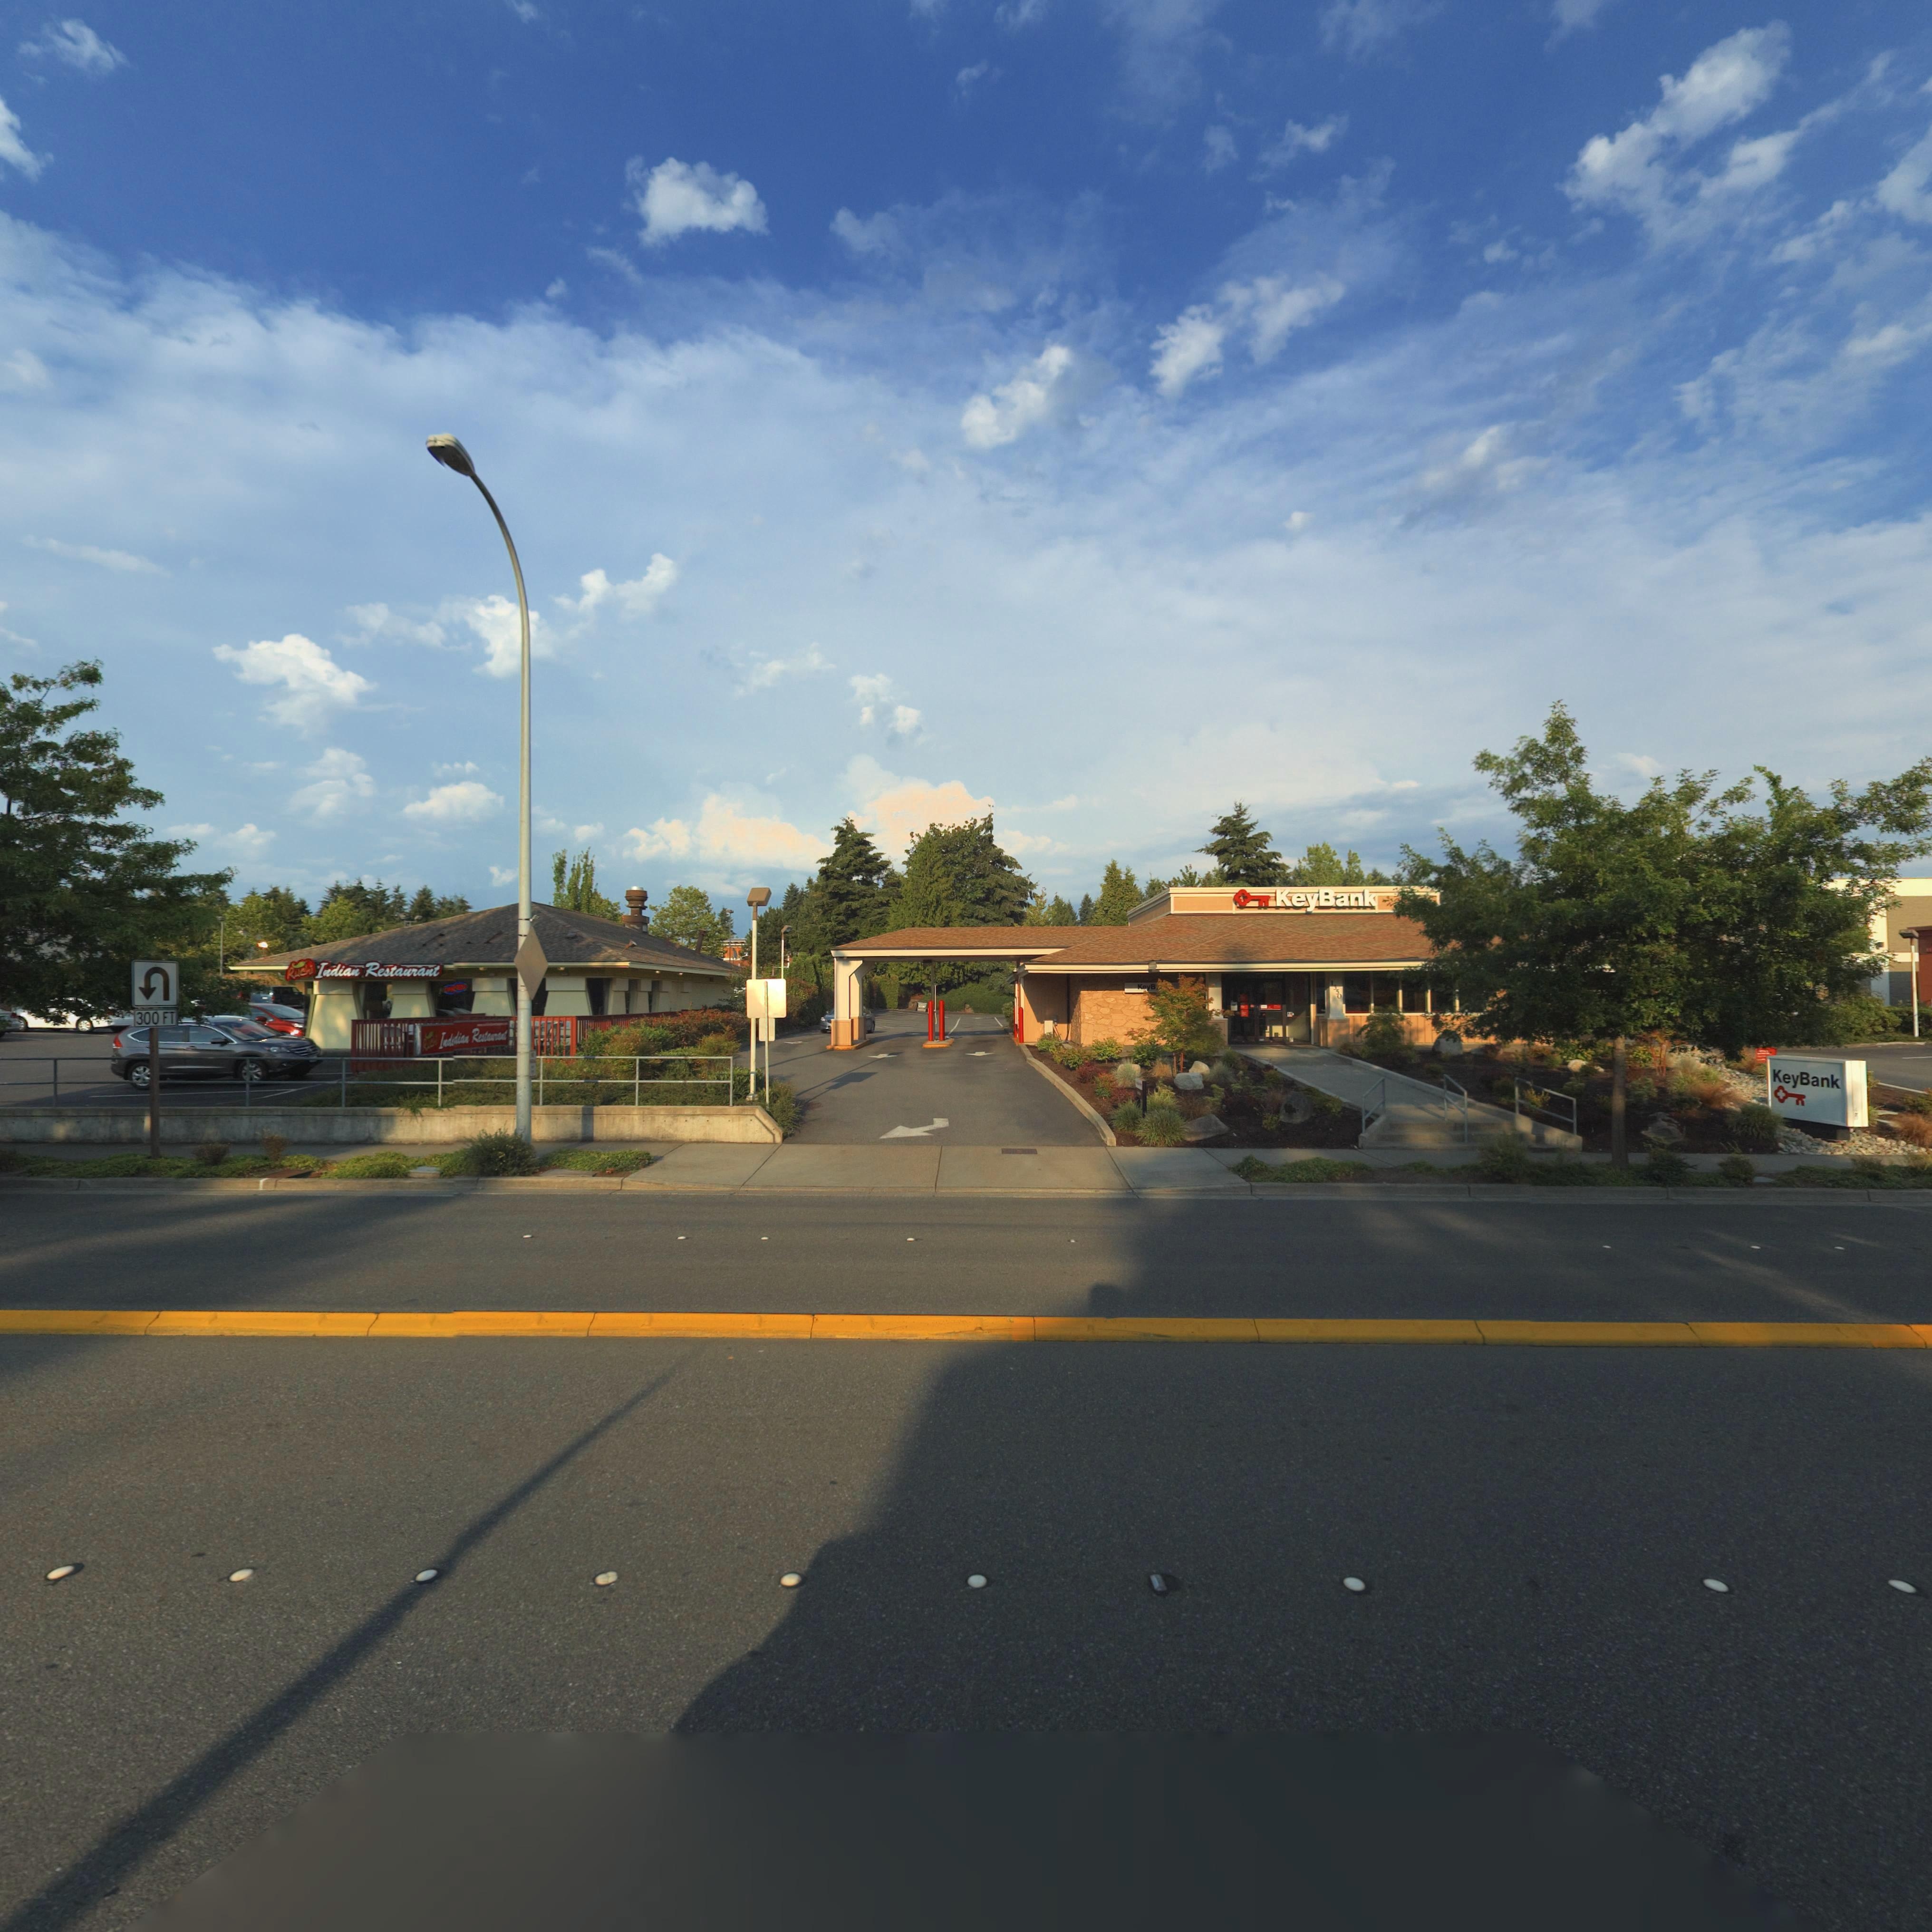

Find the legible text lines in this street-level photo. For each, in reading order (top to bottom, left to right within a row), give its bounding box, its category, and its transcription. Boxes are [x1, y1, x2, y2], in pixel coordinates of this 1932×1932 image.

[1277, 889, 1376, 910] BusinessName: KeyBank
[314, 961, 441, 977] BusinessName: Indian Restaurant
[1137, 983, 1155, 991] BusinessName: Key*
[1330, 979, 1343, 999] StreetNumber: 1350
[1773, 1068, 1841, 1090] BusinessName: KeyBank